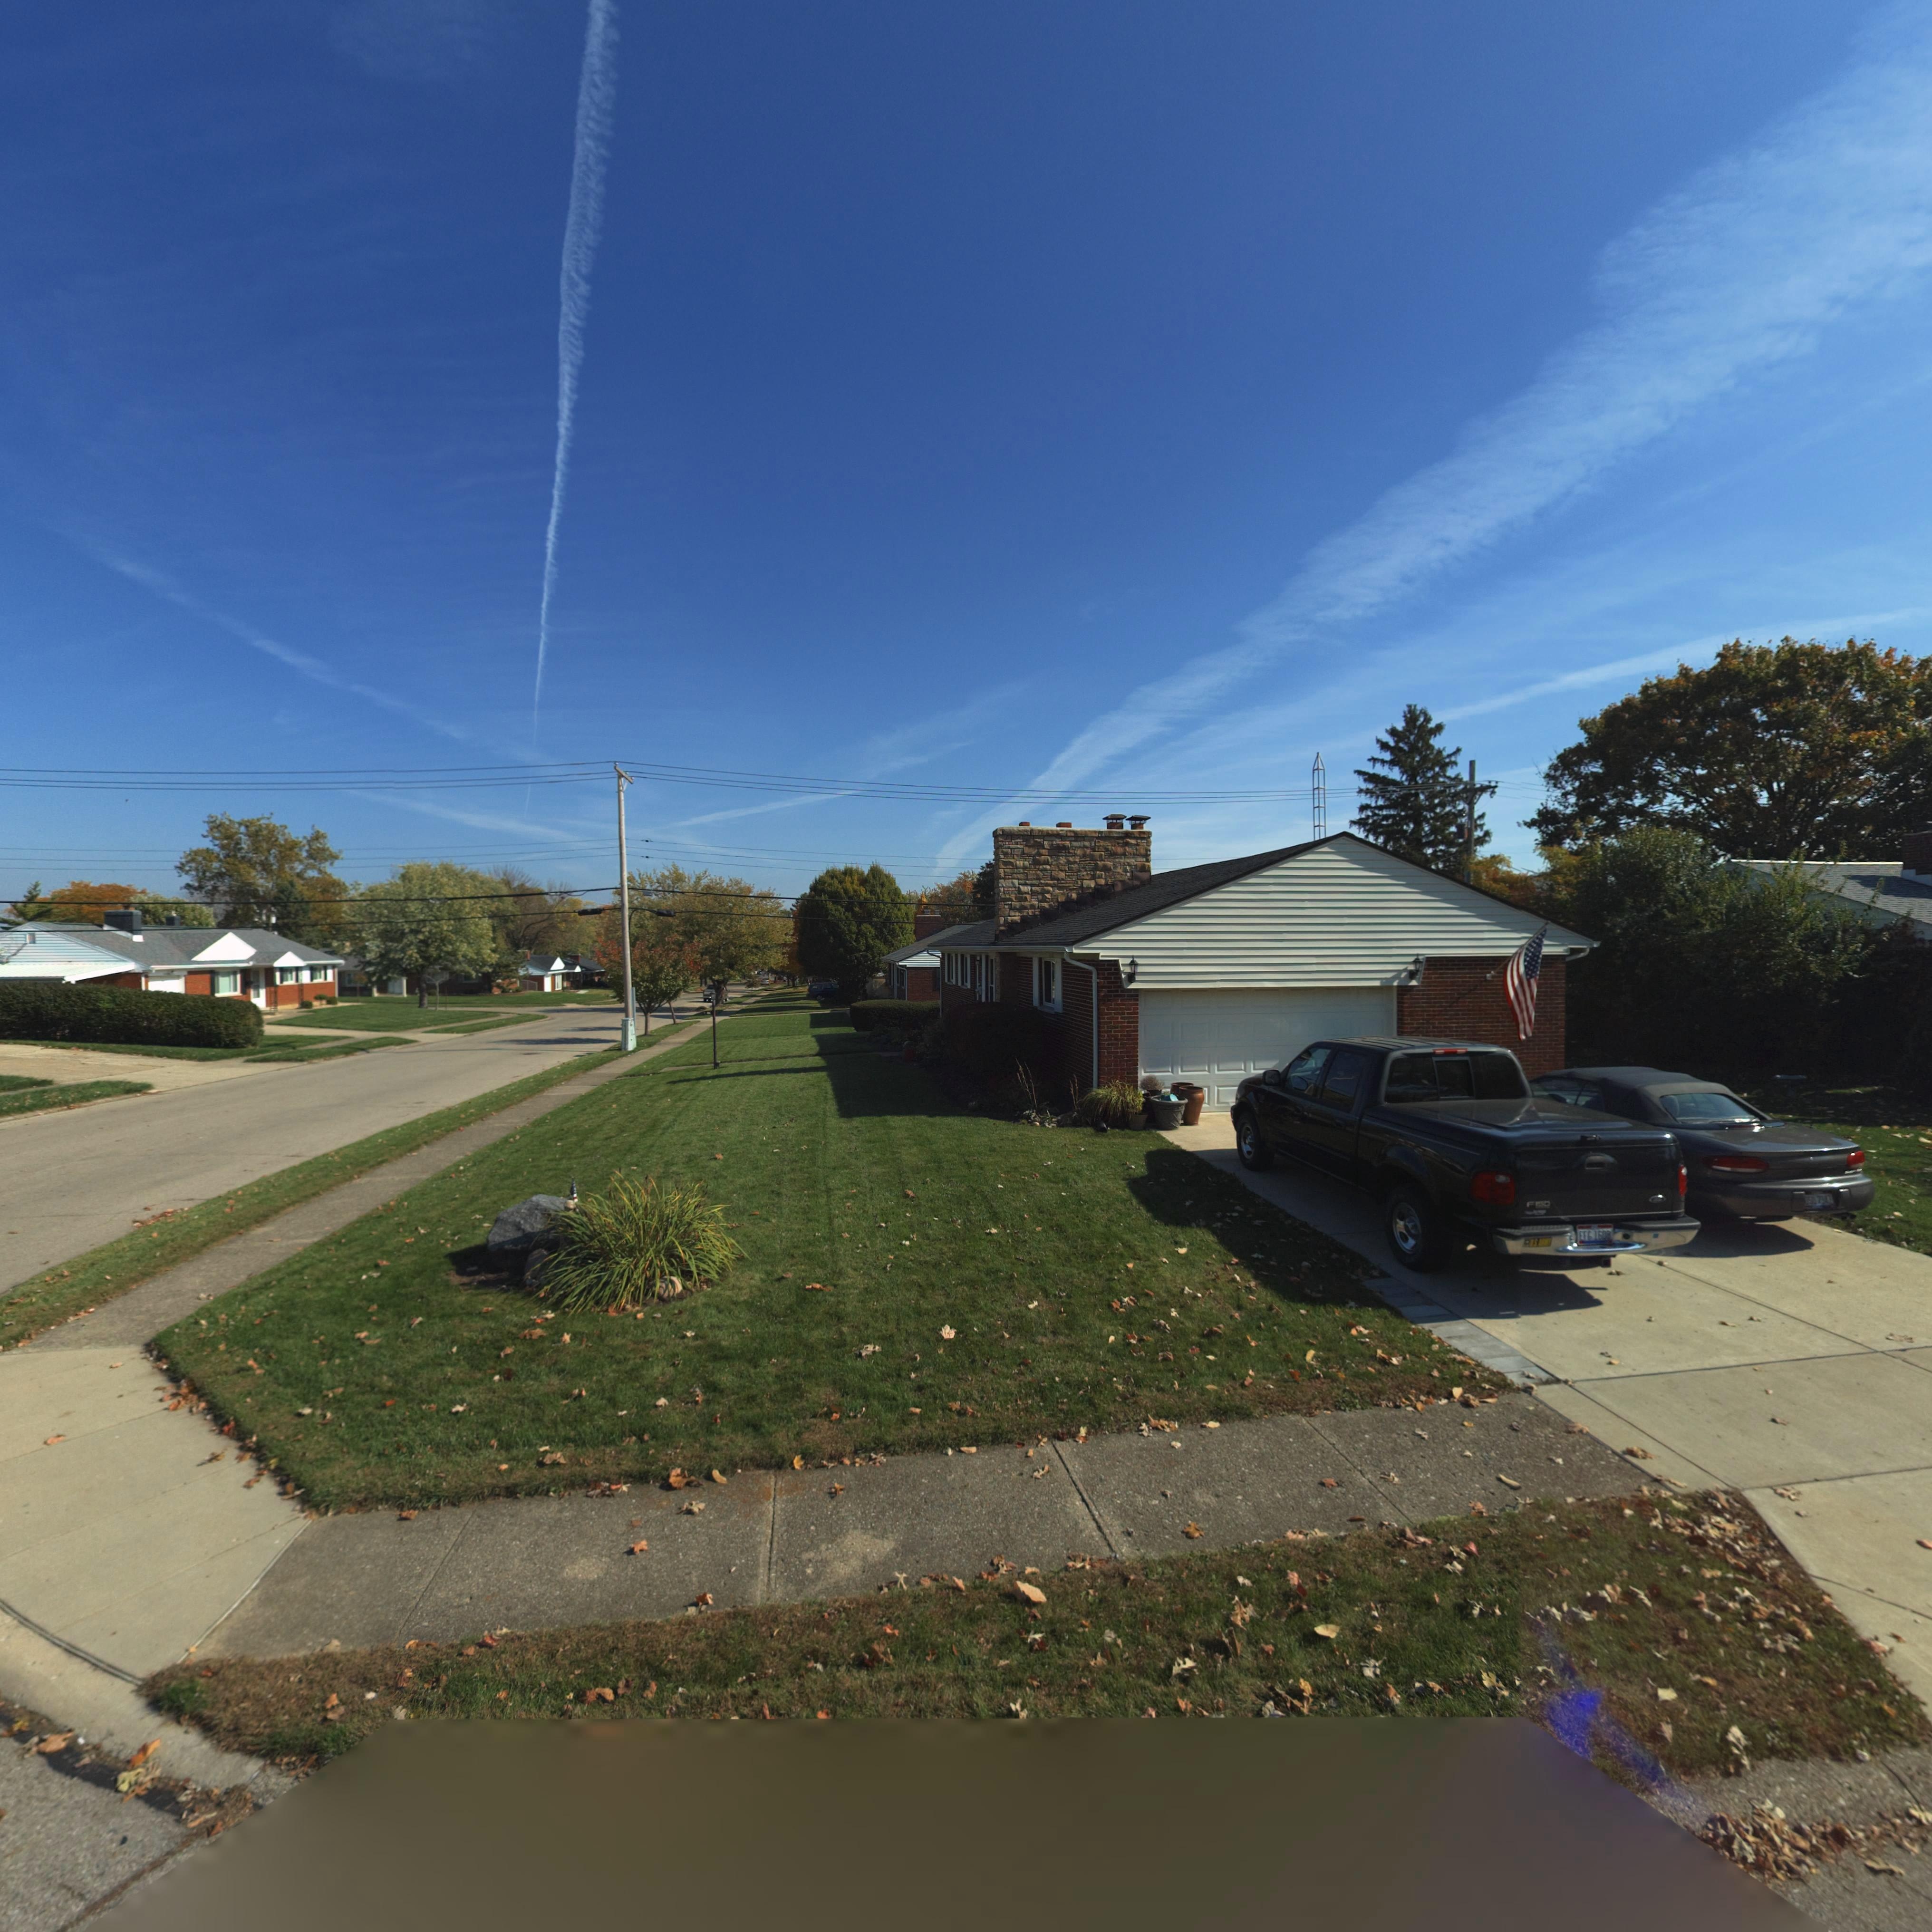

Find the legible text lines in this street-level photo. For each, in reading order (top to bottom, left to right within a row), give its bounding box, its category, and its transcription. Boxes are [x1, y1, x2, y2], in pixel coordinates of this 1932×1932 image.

[1526, 1200, 1551, 1208] None: F150
[1578, 1228, 1612, 1242] None: *FG 160*